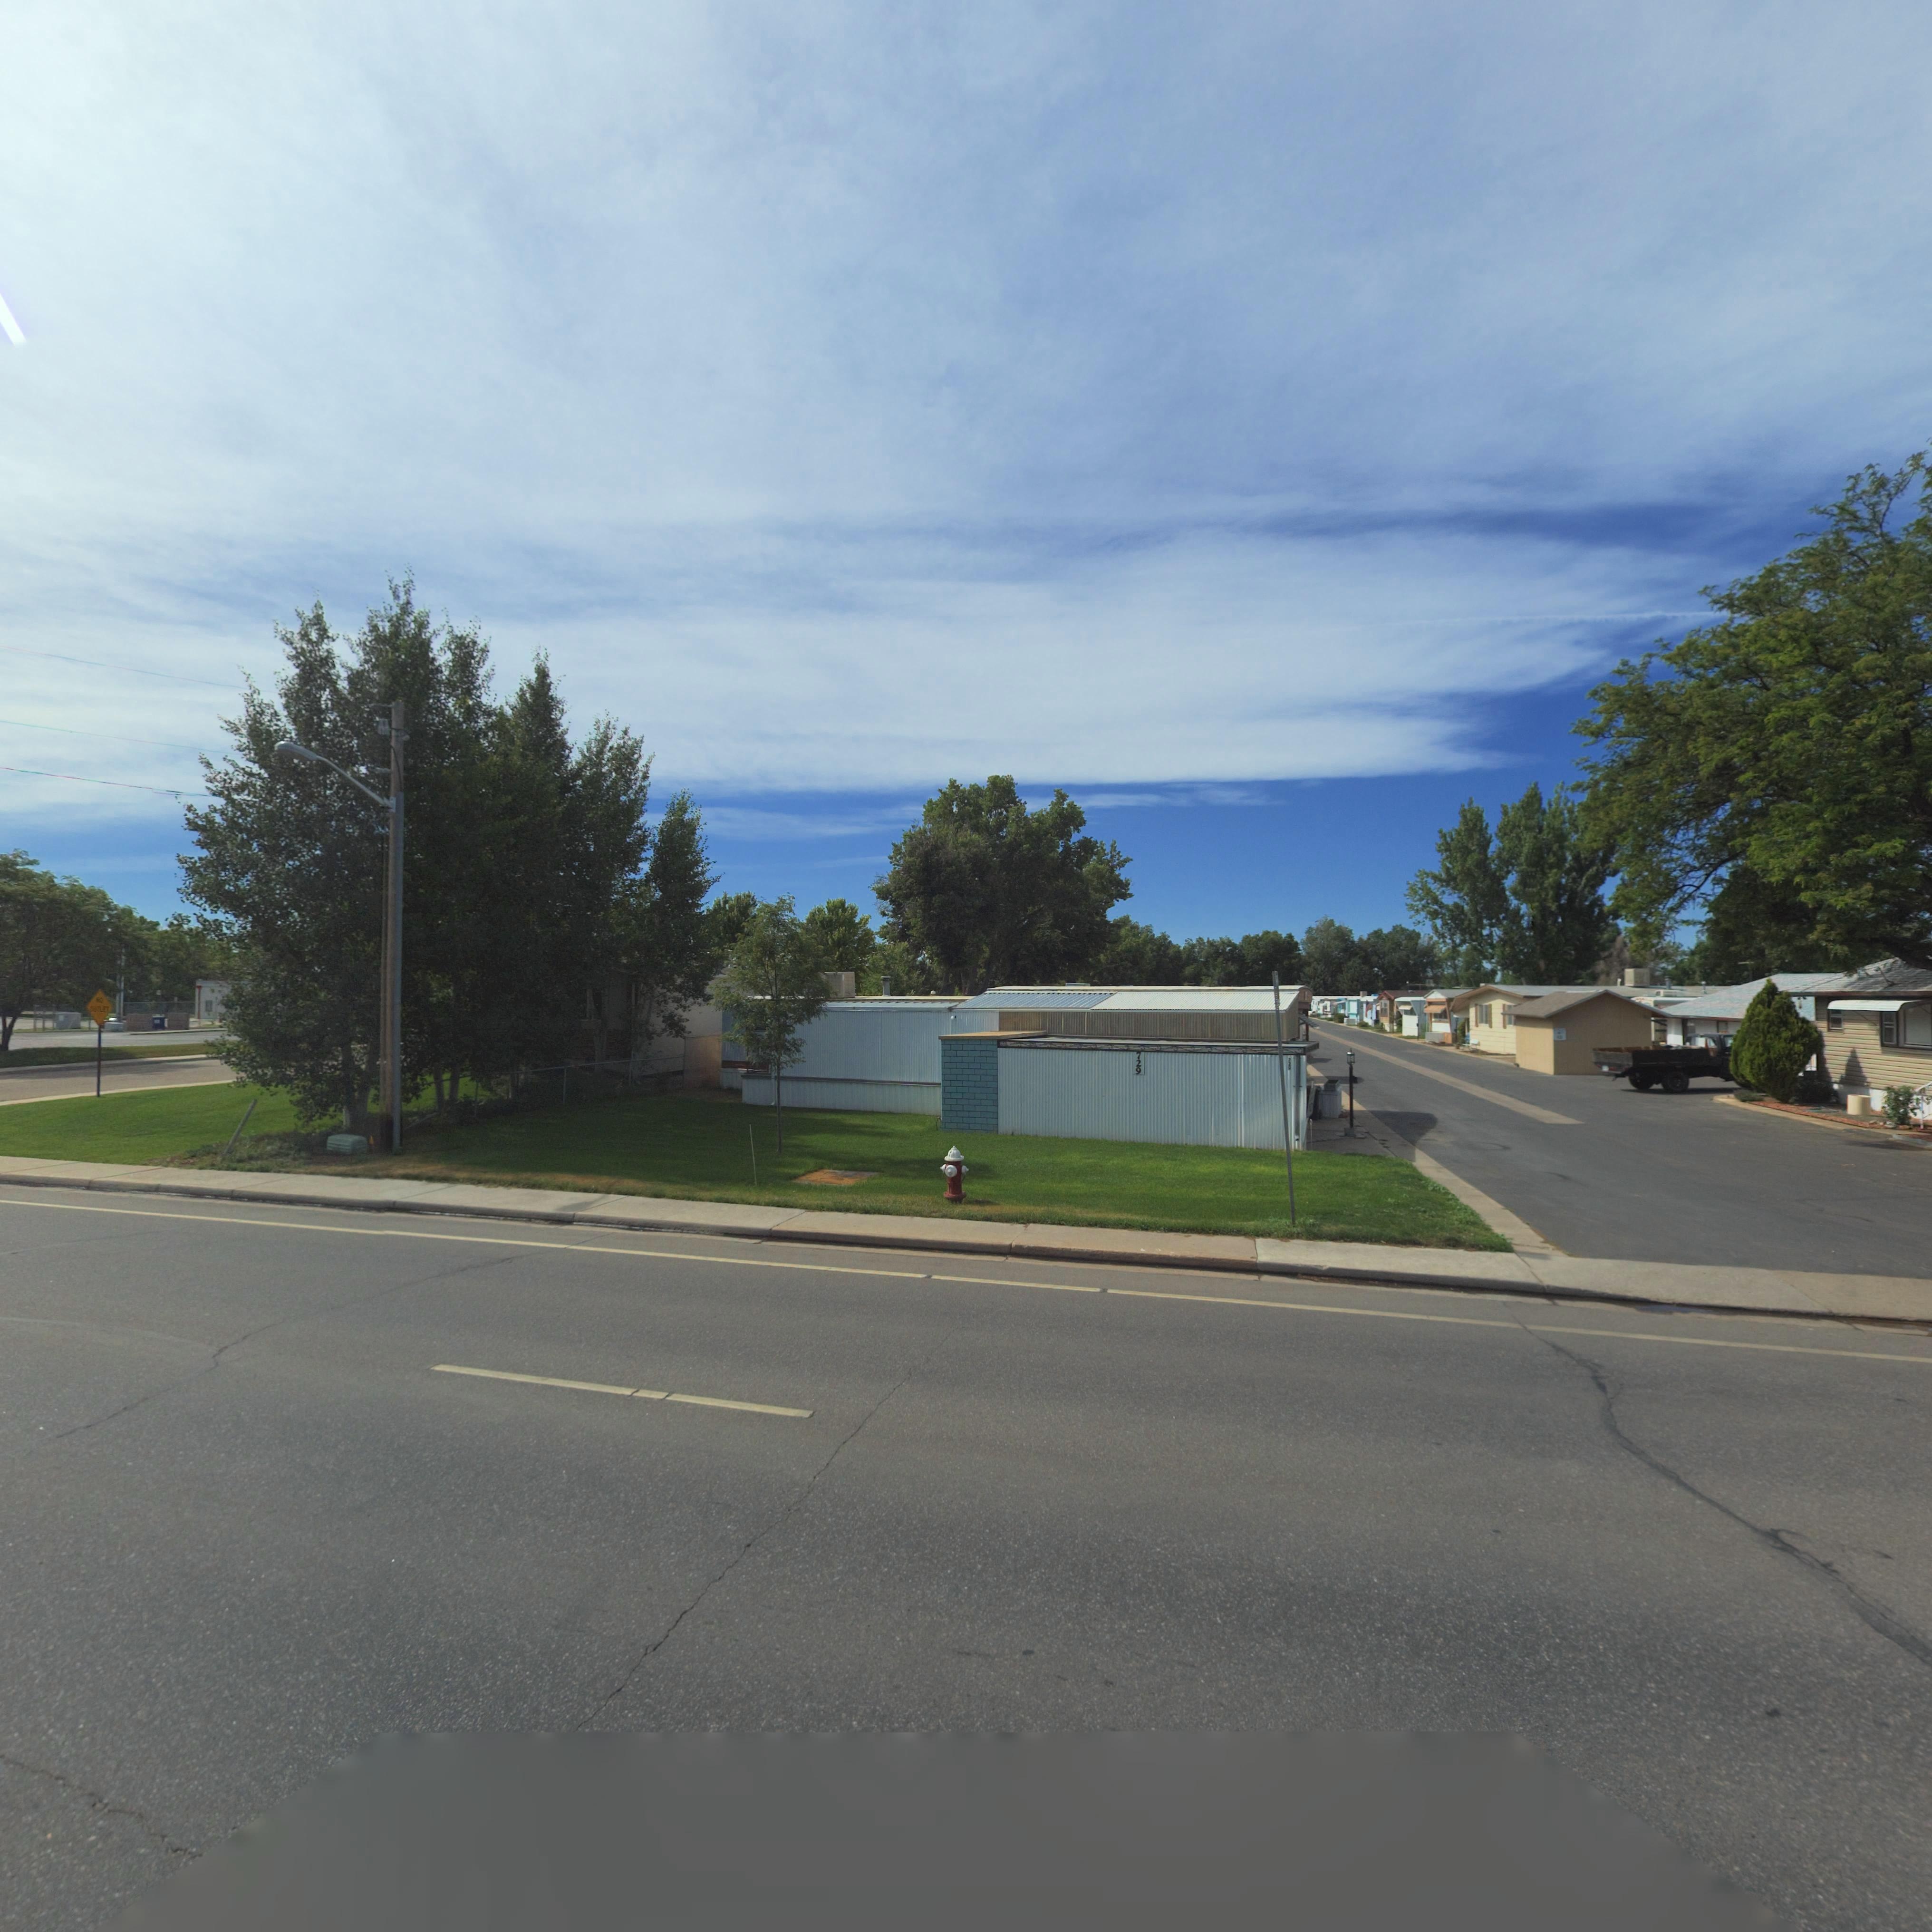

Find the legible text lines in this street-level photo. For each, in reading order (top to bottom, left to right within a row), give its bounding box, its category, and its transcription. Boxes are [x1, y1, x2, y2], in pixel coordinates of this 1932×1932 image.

[1135, 1051, 1142, 1075] StreetNumber: 729
[1288, 1057, 1291, 1070] StreetNumber: *29